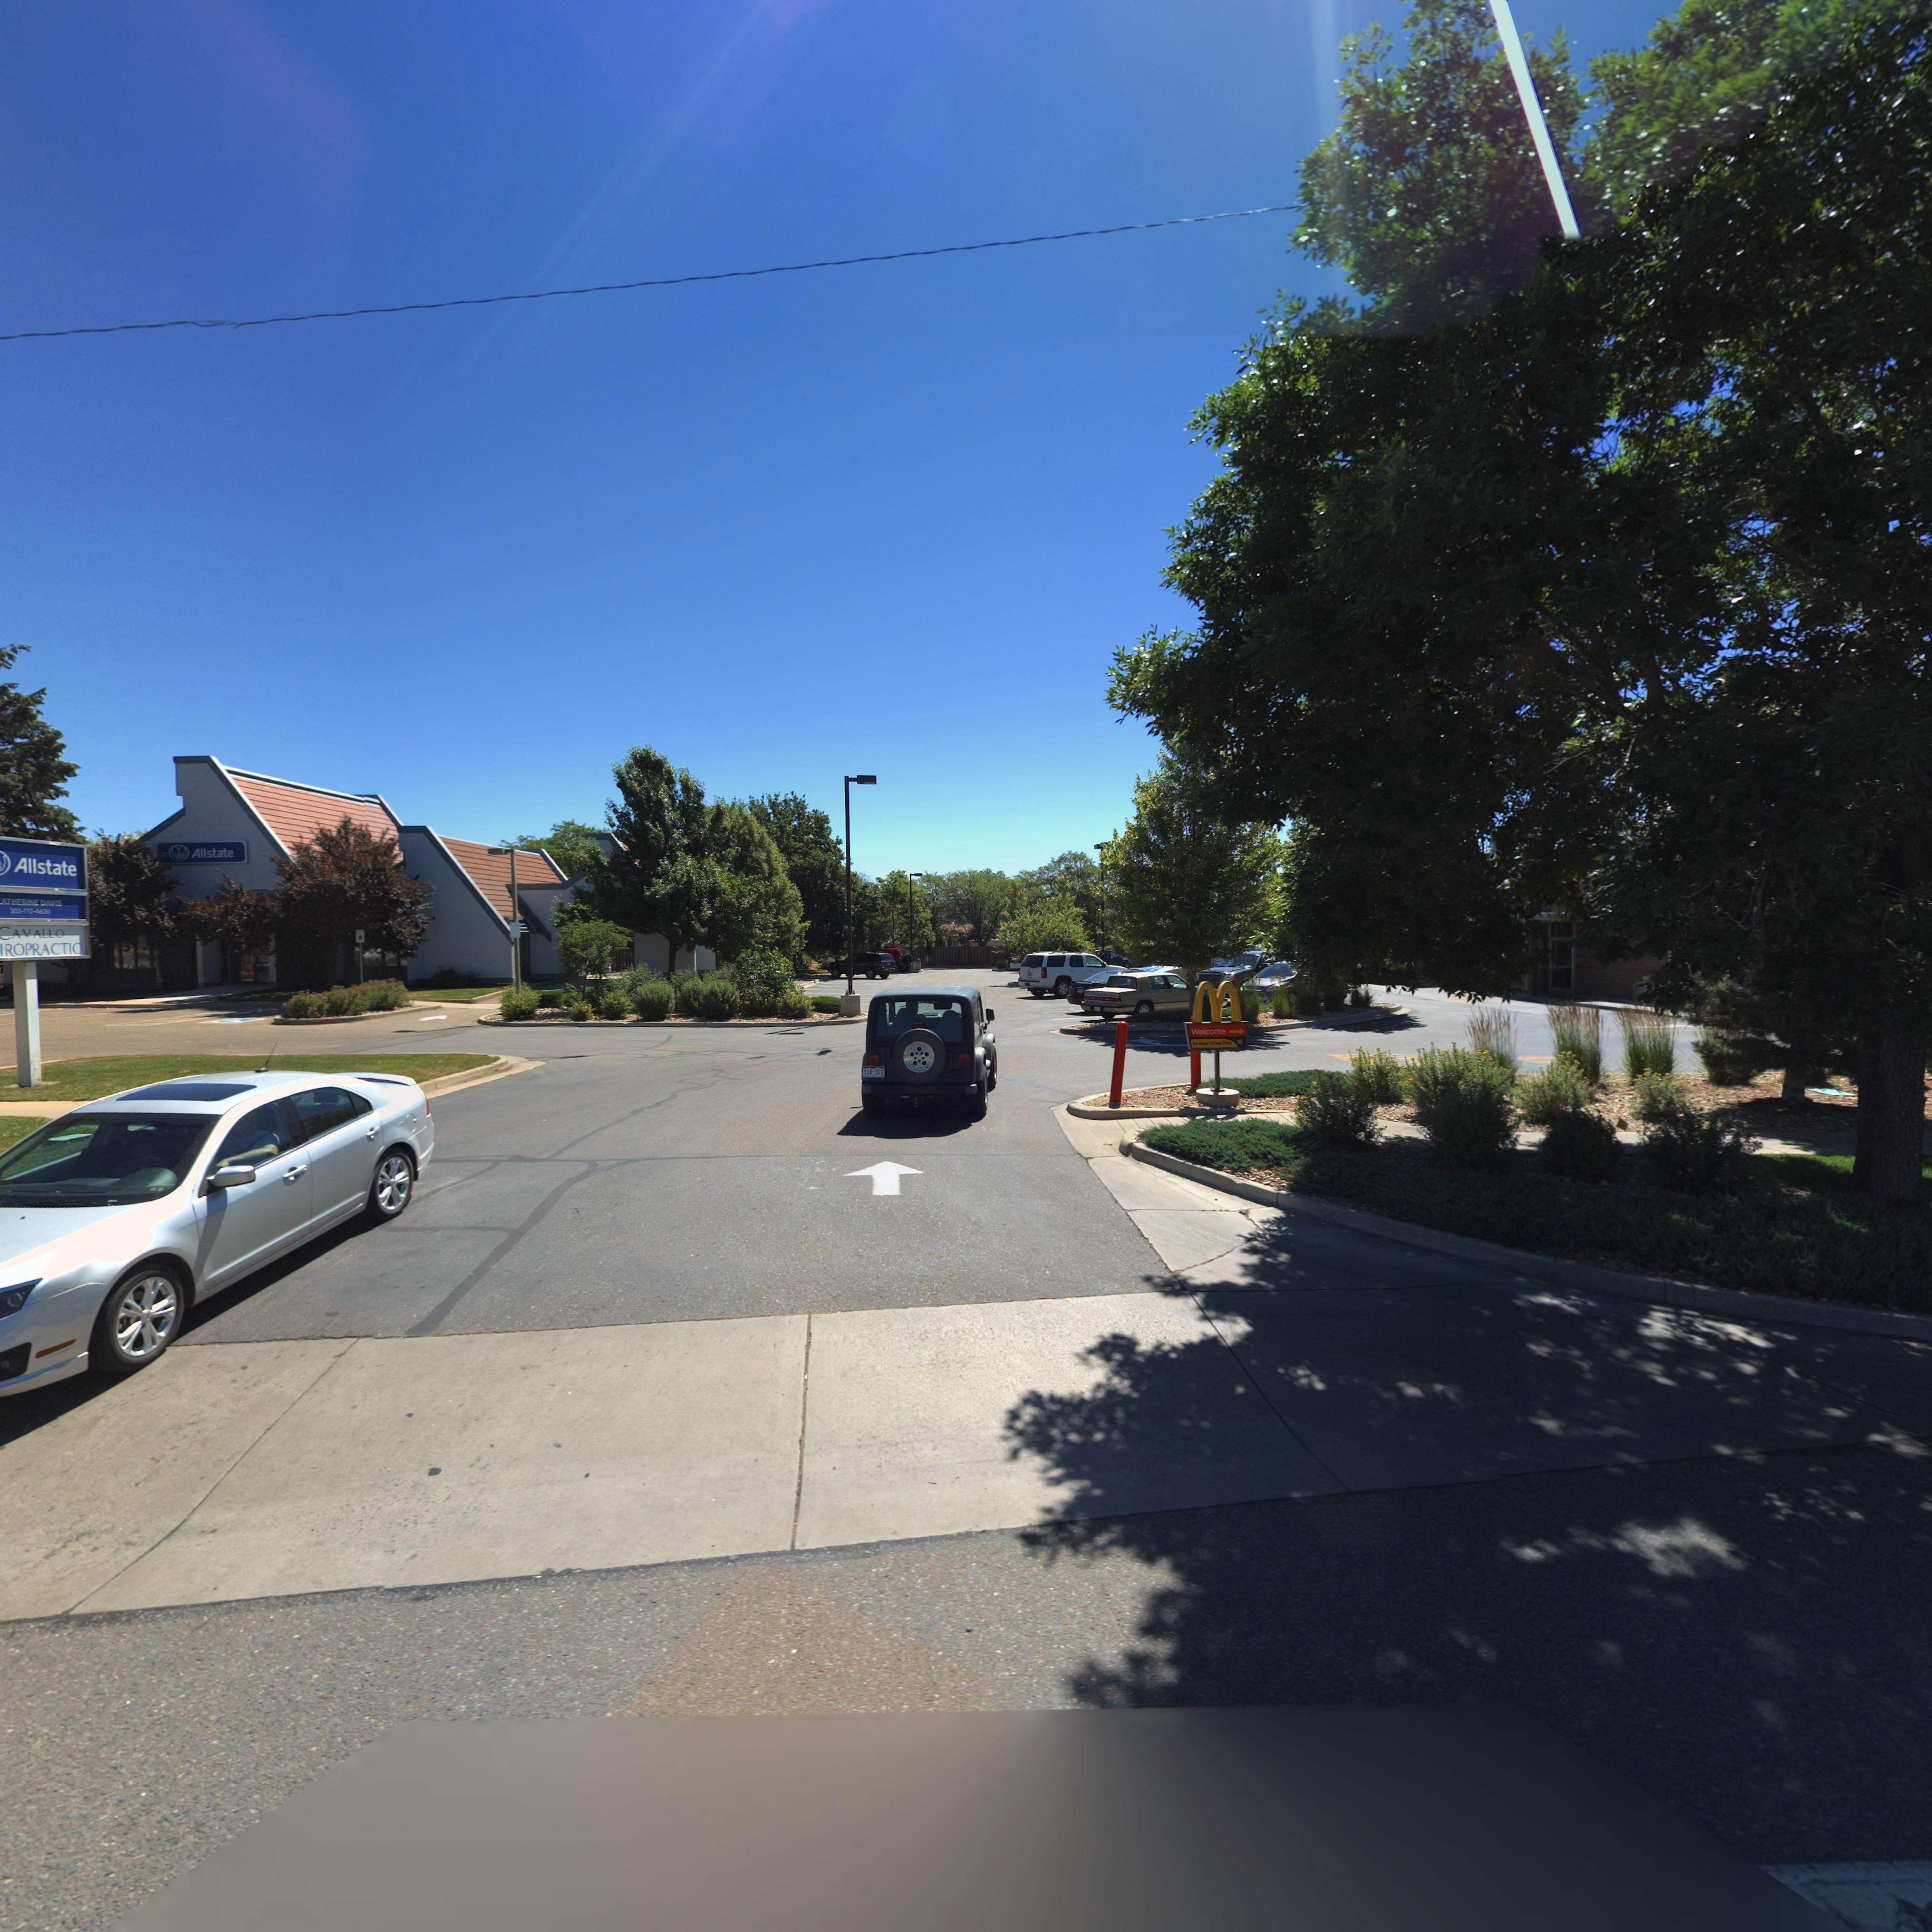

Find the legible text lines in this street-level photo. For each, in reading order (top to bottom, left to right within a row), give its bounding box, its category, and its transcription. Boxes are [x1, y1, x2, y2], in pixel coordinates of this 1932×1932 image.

[191, 847, 234, 859] BusinessName: Allstate
[12, 857, 78, 877] BusinessName: Allstate
[11, 929, 65, 938] BusinessName: AVALLO
[0, 942, 83, 956] BusinessName: IROPRACTIC